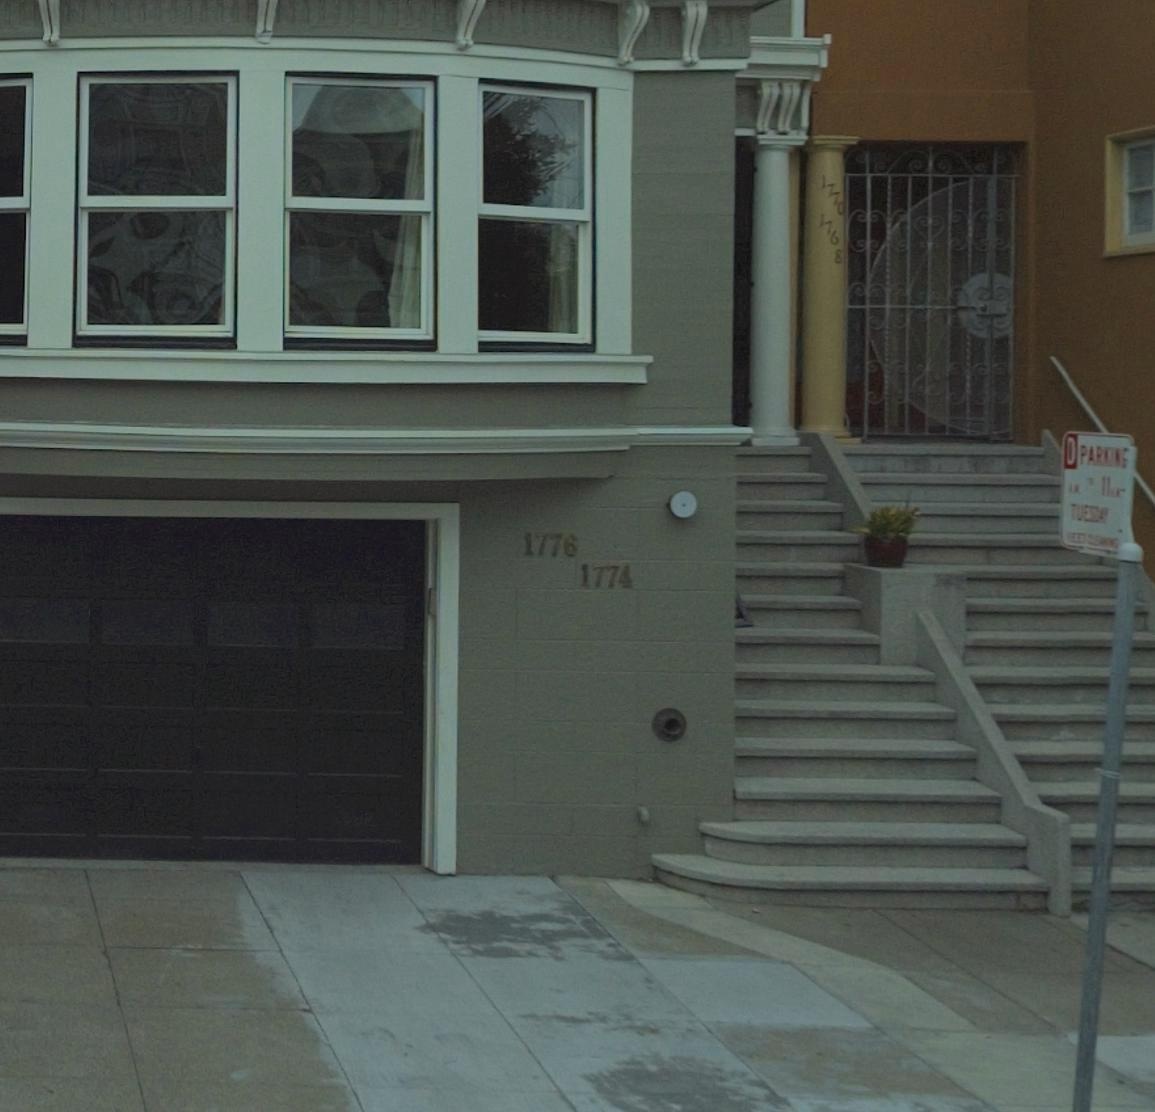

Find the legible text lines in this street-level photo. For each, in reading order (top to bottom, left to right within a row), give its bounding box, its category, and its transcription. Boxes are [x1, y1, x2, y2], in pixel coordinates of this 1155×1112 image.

[821, 174, 848, 218] StreetNumber: 1770
[818, 213, 843, 265] StreetNumber: 1768
[1065, 436, 1129, 471] None: O PARKING
[1067, 475, 1122, 498] None: AM ** 11AM
[1069, 502, 1112, 527] None: TUES***
[523, 531, 581, 559] StreetNumber: 1776
[1064, 530, 1121, 551] None: *EET ***AN**G
[580, 563, 634, 589] StreetNumber: 1774